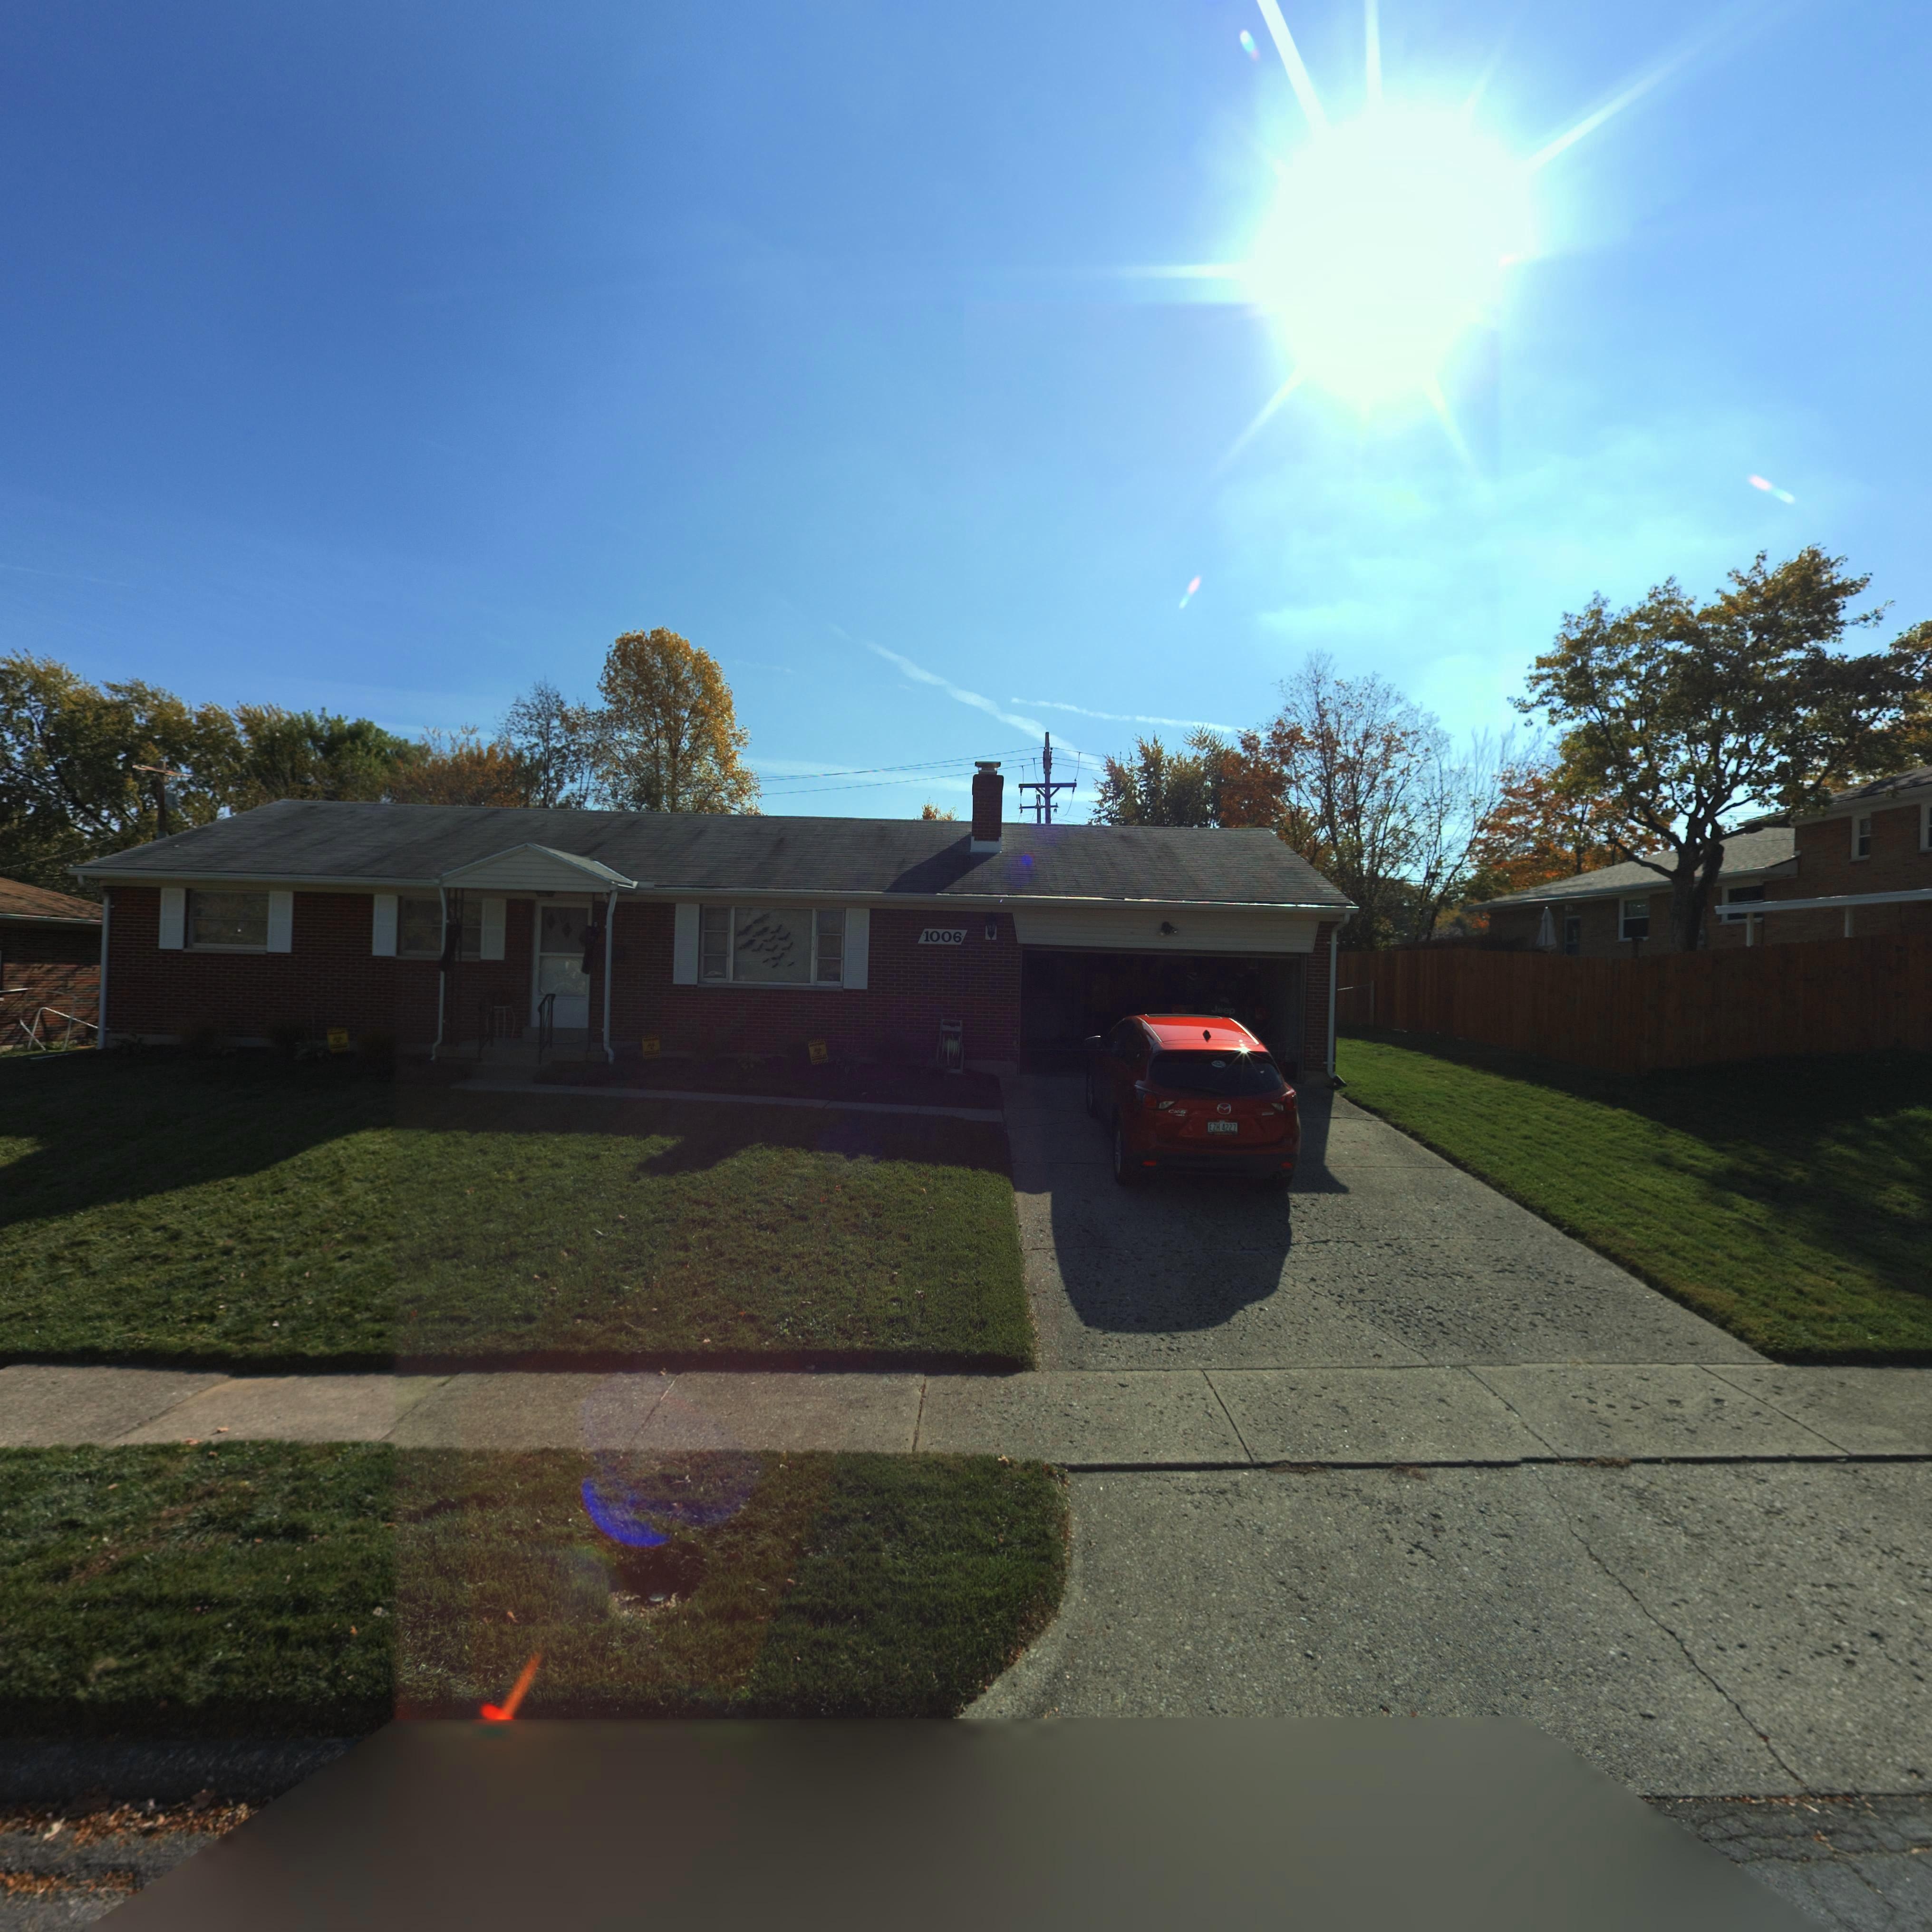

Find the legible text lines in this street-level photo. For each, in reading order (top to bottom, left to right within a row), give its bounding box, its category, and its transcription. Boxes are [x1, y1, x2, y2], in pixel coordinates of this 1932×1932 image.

[923, 929, 963, 944] StreetNumber: 1006
[1208, 1122, 1237, 1132] None: EZH 4227